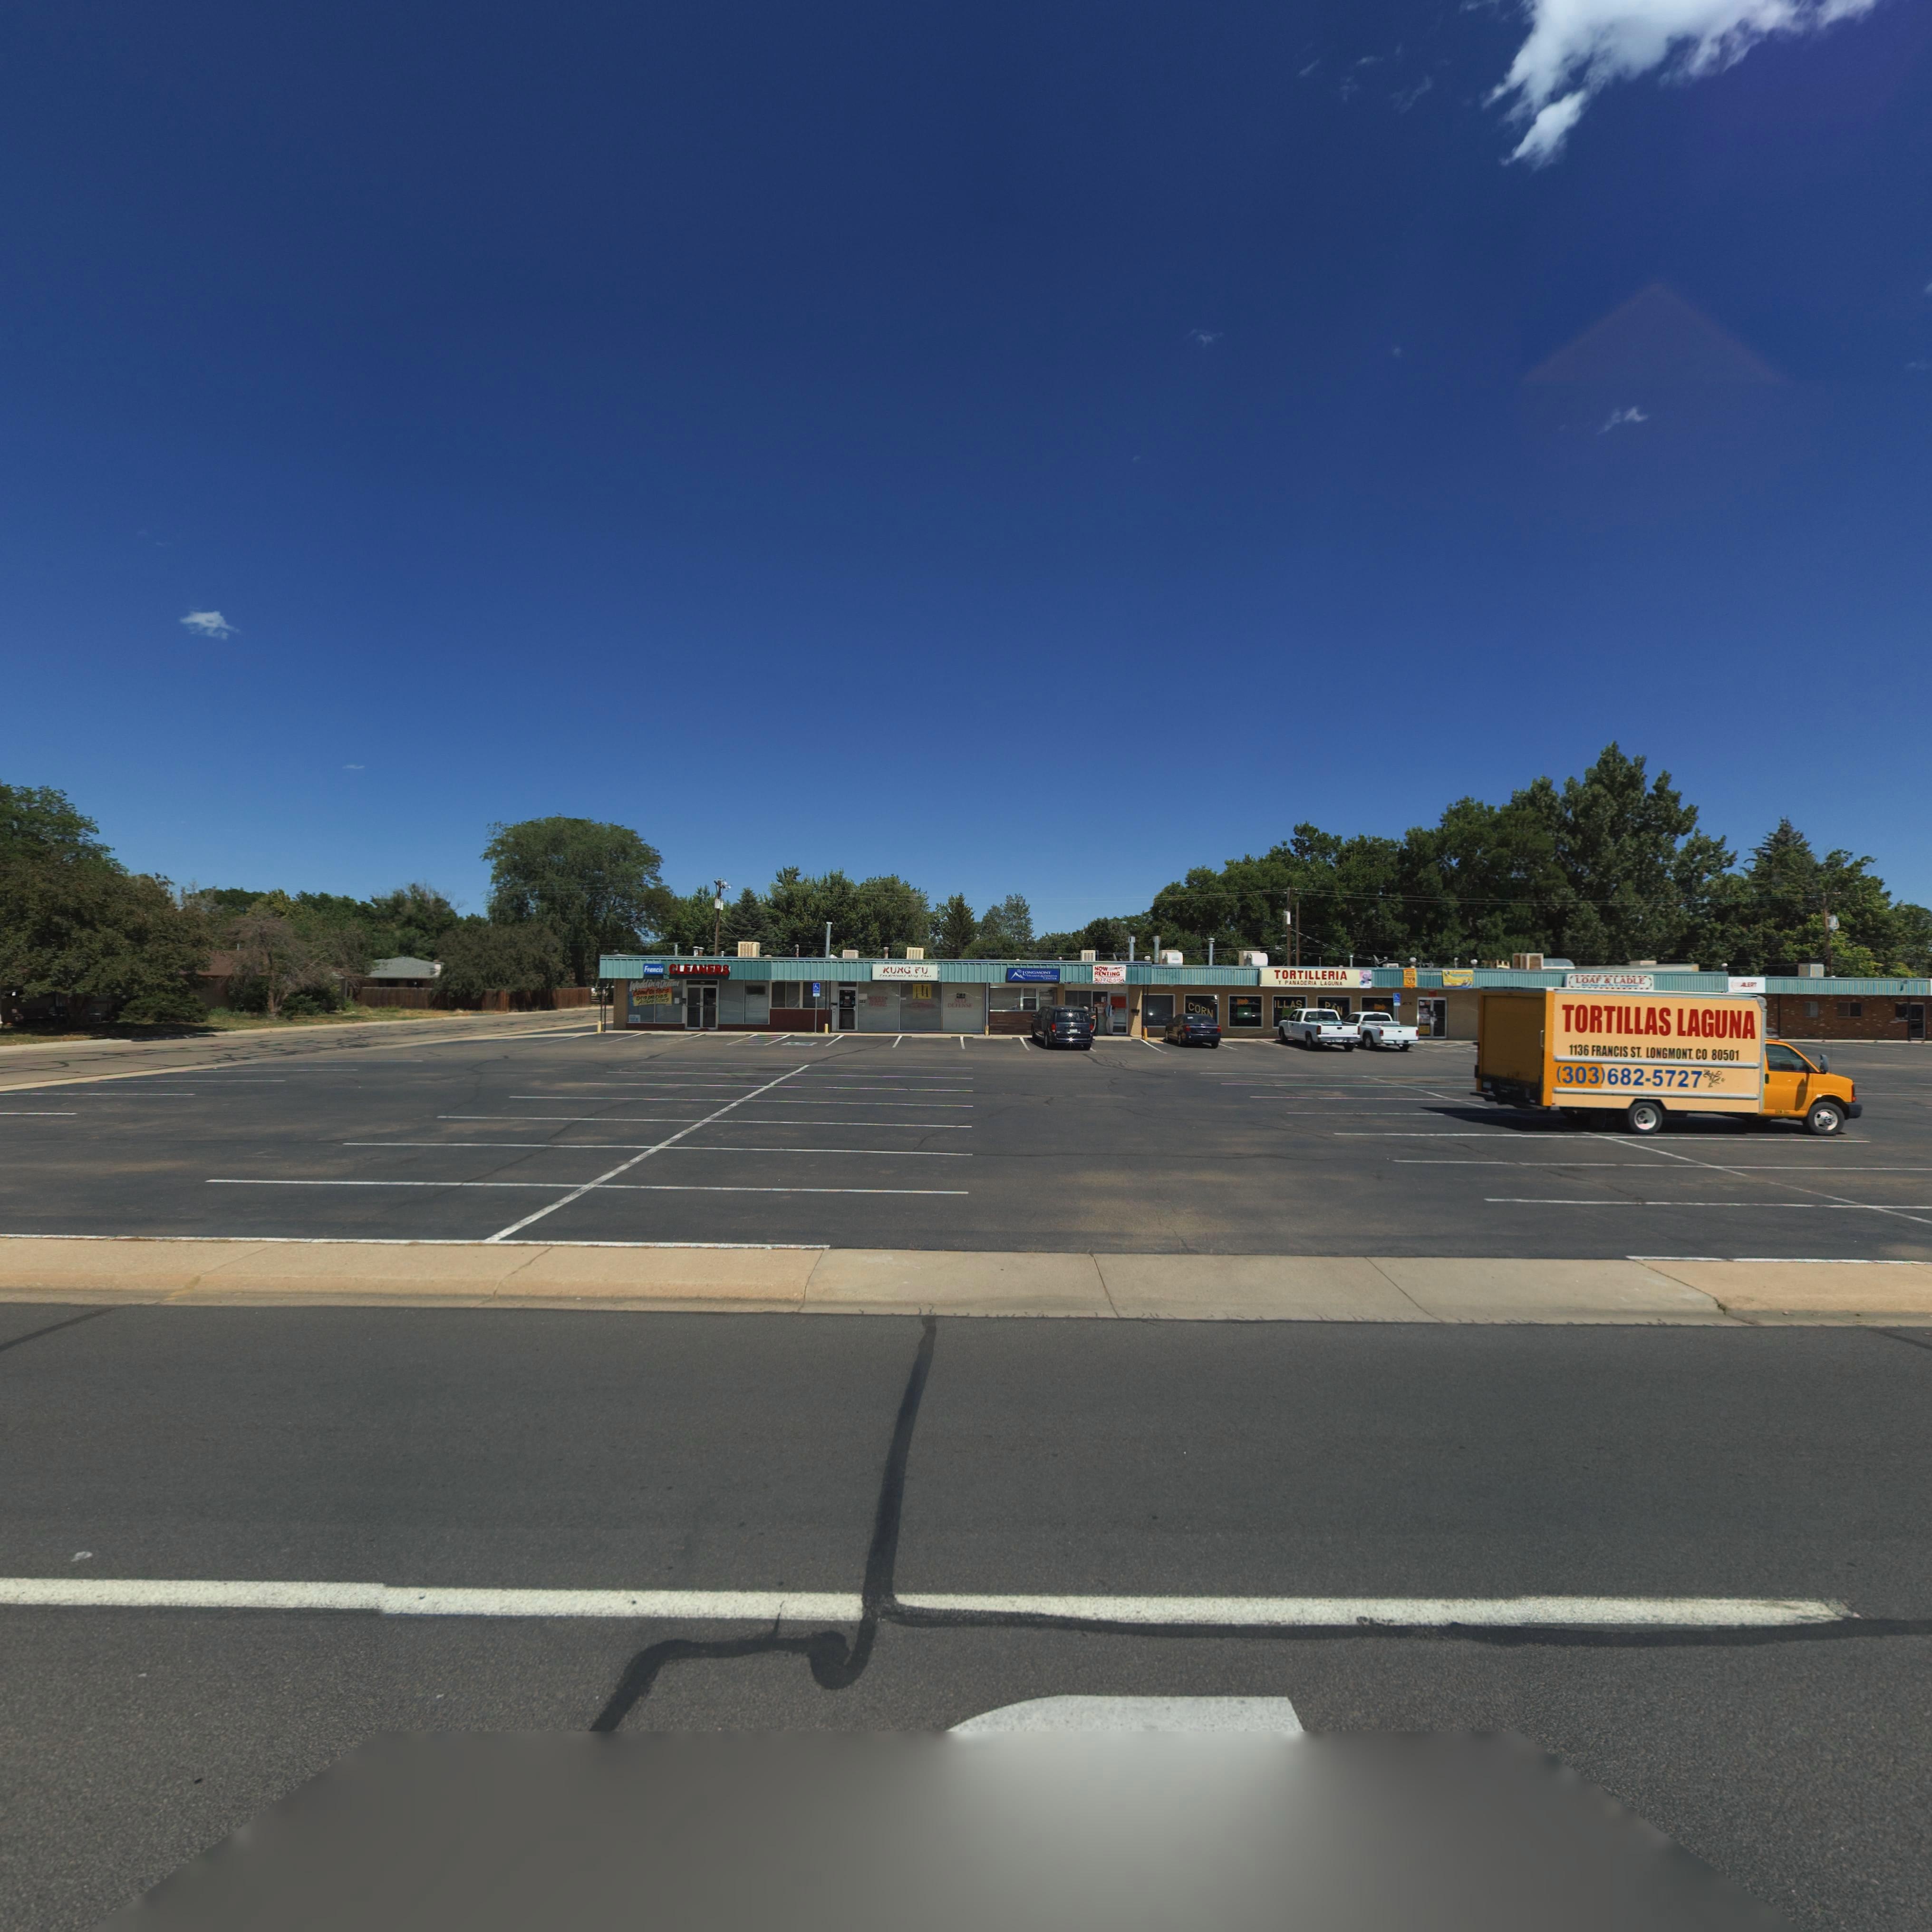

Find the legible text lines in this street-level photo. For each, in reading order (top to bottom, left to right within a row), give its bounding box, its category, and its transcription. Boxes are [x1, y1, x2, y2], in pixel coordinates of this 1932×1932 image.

[1022, 970, 1052, 976] BusinessName: LONGMONT
[1273, 969, 1348, 980] BusinessName: TORTILLERIA
[1575, 976, 1645, 984] BusinessName: LOAF & LADLE
[1740, 981, 1757, 987] BusinessName: ALERT